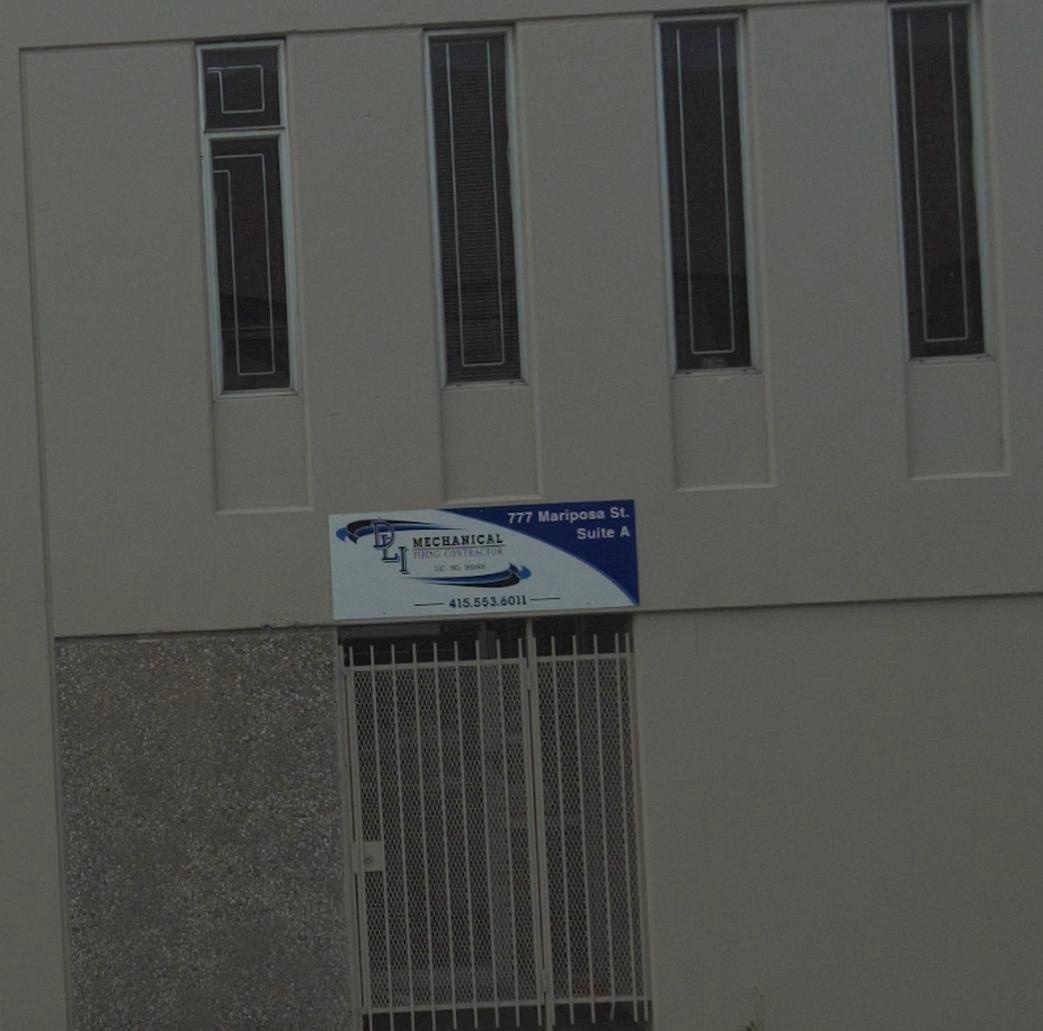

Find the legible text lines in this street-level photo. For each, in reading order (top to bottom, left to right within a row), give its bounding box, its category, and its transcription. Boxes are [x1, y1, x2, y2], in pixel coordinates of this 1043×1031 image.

[505, 510, 535, 524] StreetNumber: 777
[537, 504, 631, 526] StreetName: Mariposa St.
[410, 531, 505, 549] BusinessName: MECHANICAL
[574, 522, 634, 542] SecondaryUnitDesignator: Suite A
[412, 545, 505, 559] BusinessName: PIPING CONTRACTOR
[448, 563, 462, 573] None: NO
[447, 593, 528, 609] None: 415 553 6011